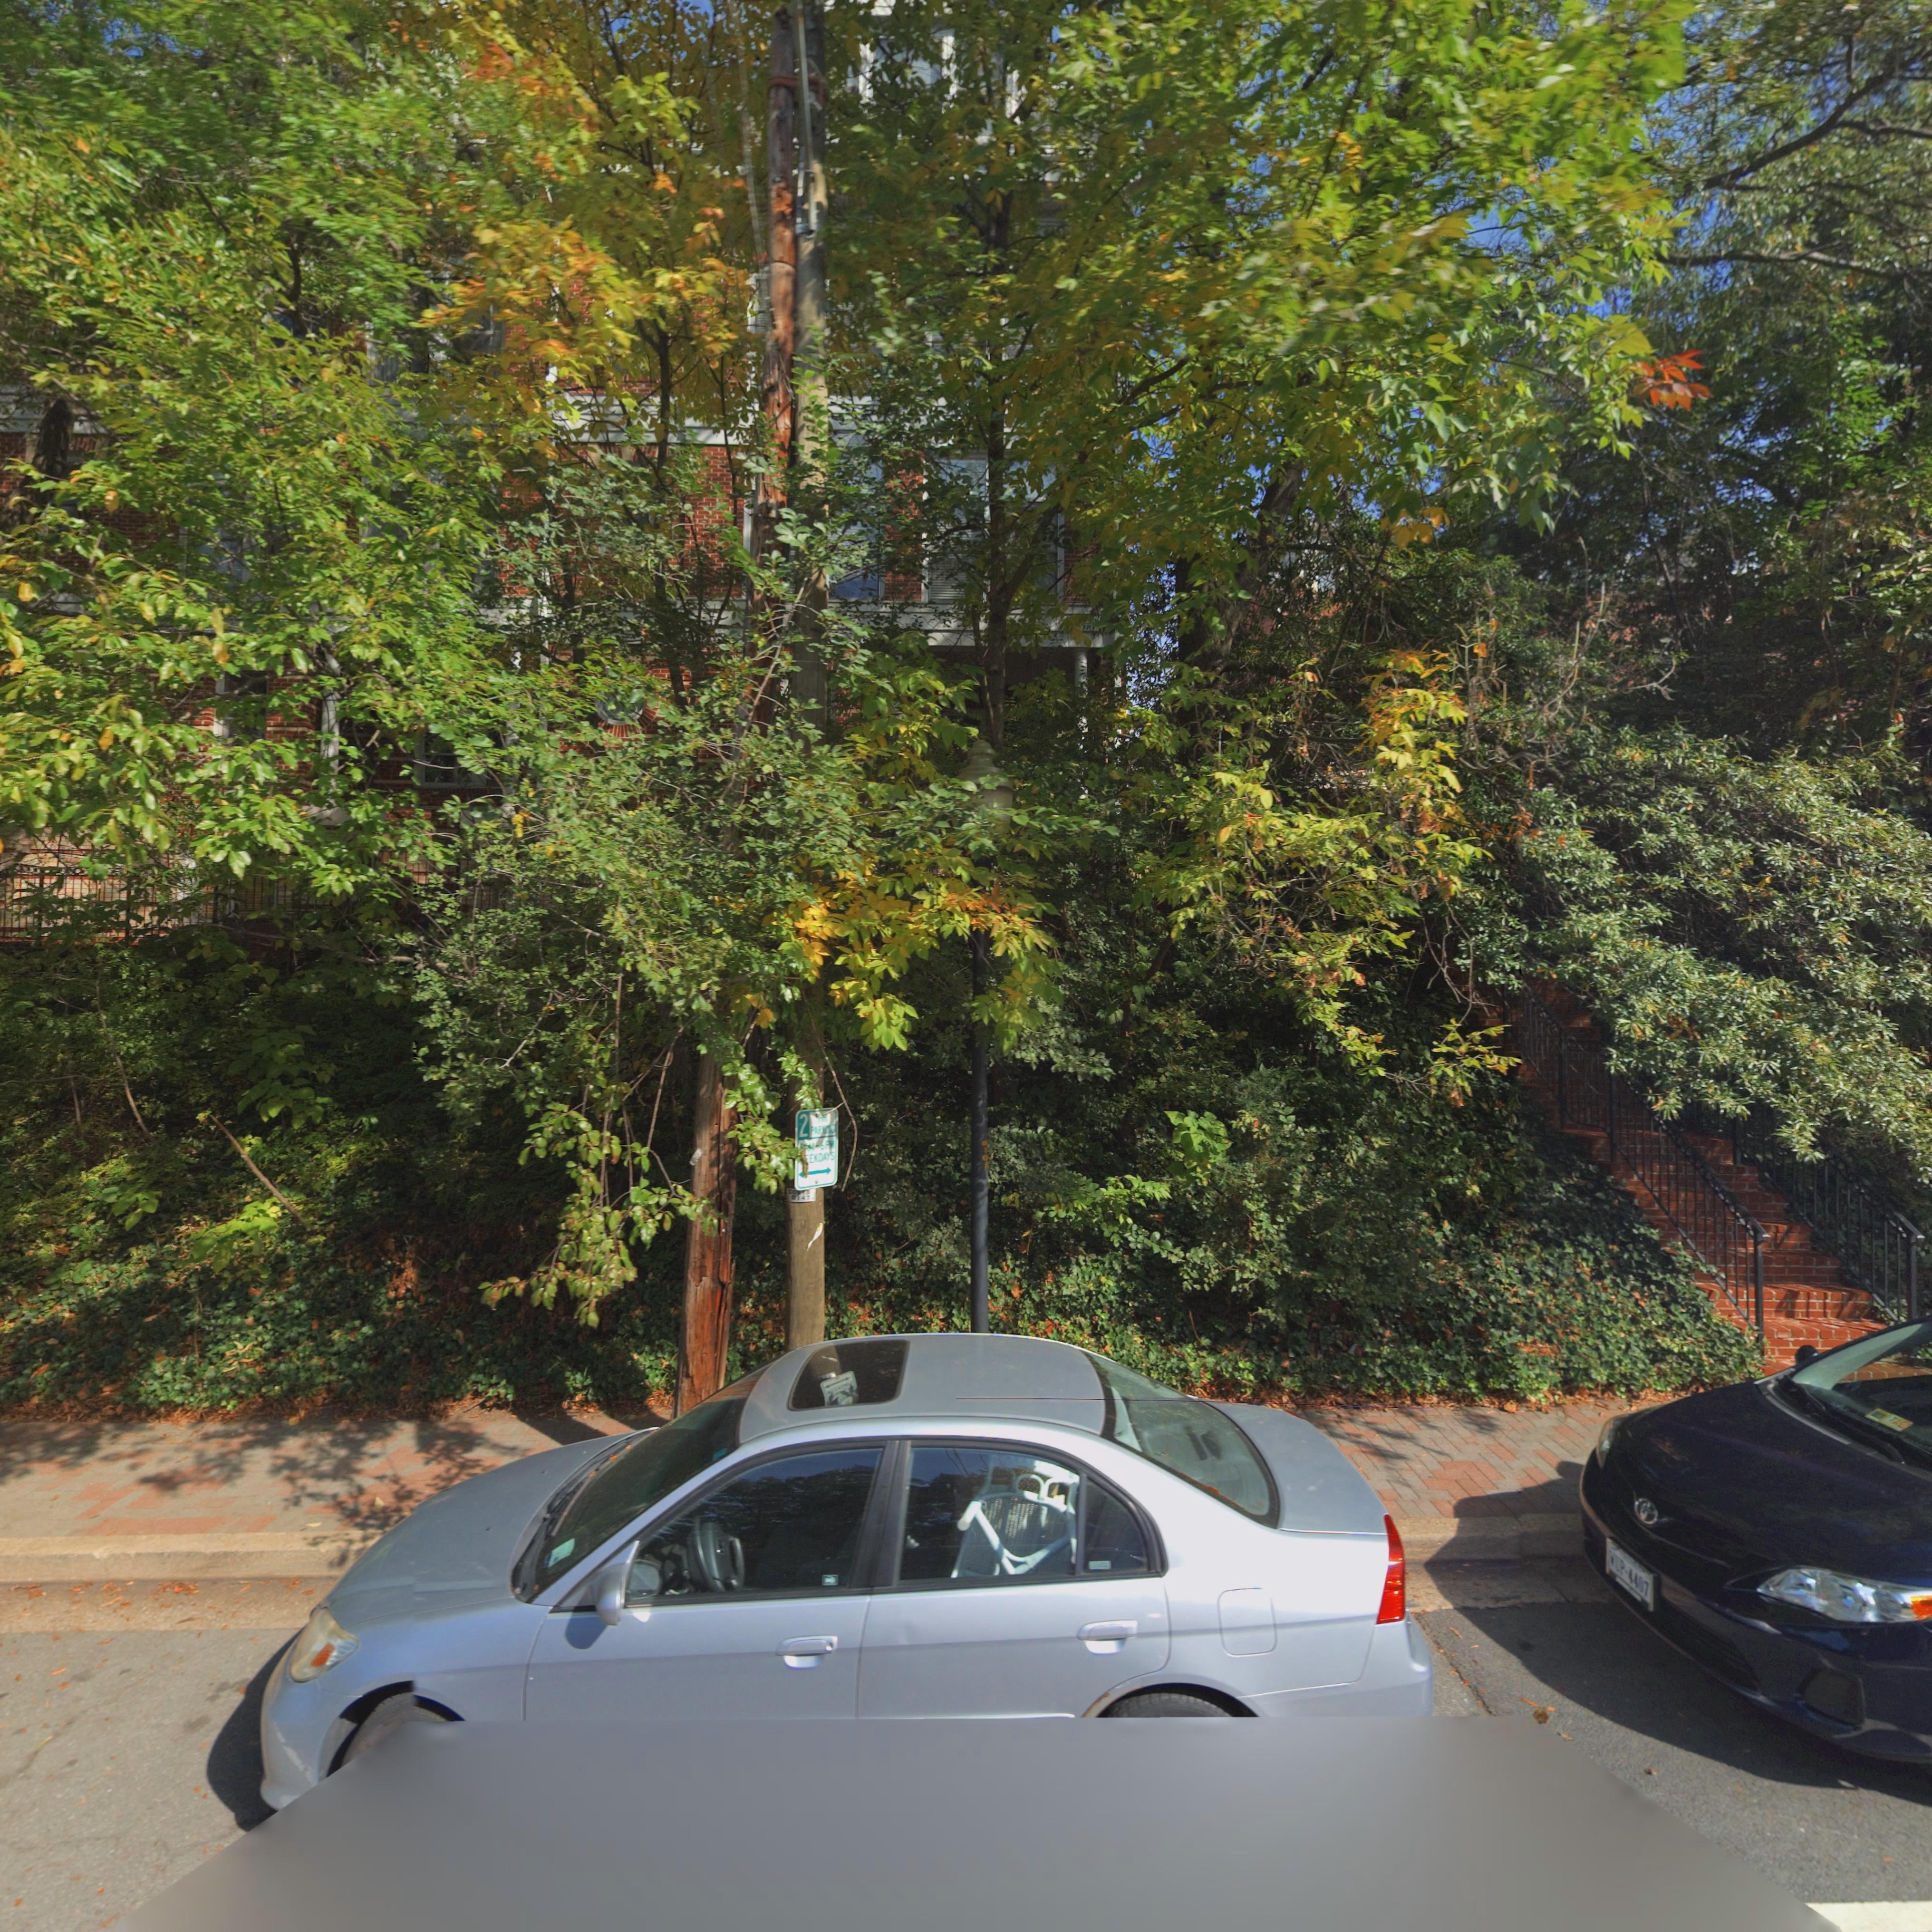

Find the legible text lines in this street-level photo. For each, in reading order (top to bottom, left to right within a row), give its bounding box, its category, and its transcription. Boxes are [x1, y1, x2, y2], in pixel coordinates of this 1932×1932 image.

[817, 1112, 829, 1123] None: H*
[799, 1113, 809, 1138] None: 2
[810, 1124, 836, 1137] None: PAR***G
[820, 1139, 835, 1151] None: 6PM
[809, 1150, 835, 1164] None: EKDAYS
[788, 1189, 796, 1195] None: CO
[791, 1195, 811, 1201] None: 0147
[1609, 1549, 1651, 1599] None: WUP*4407